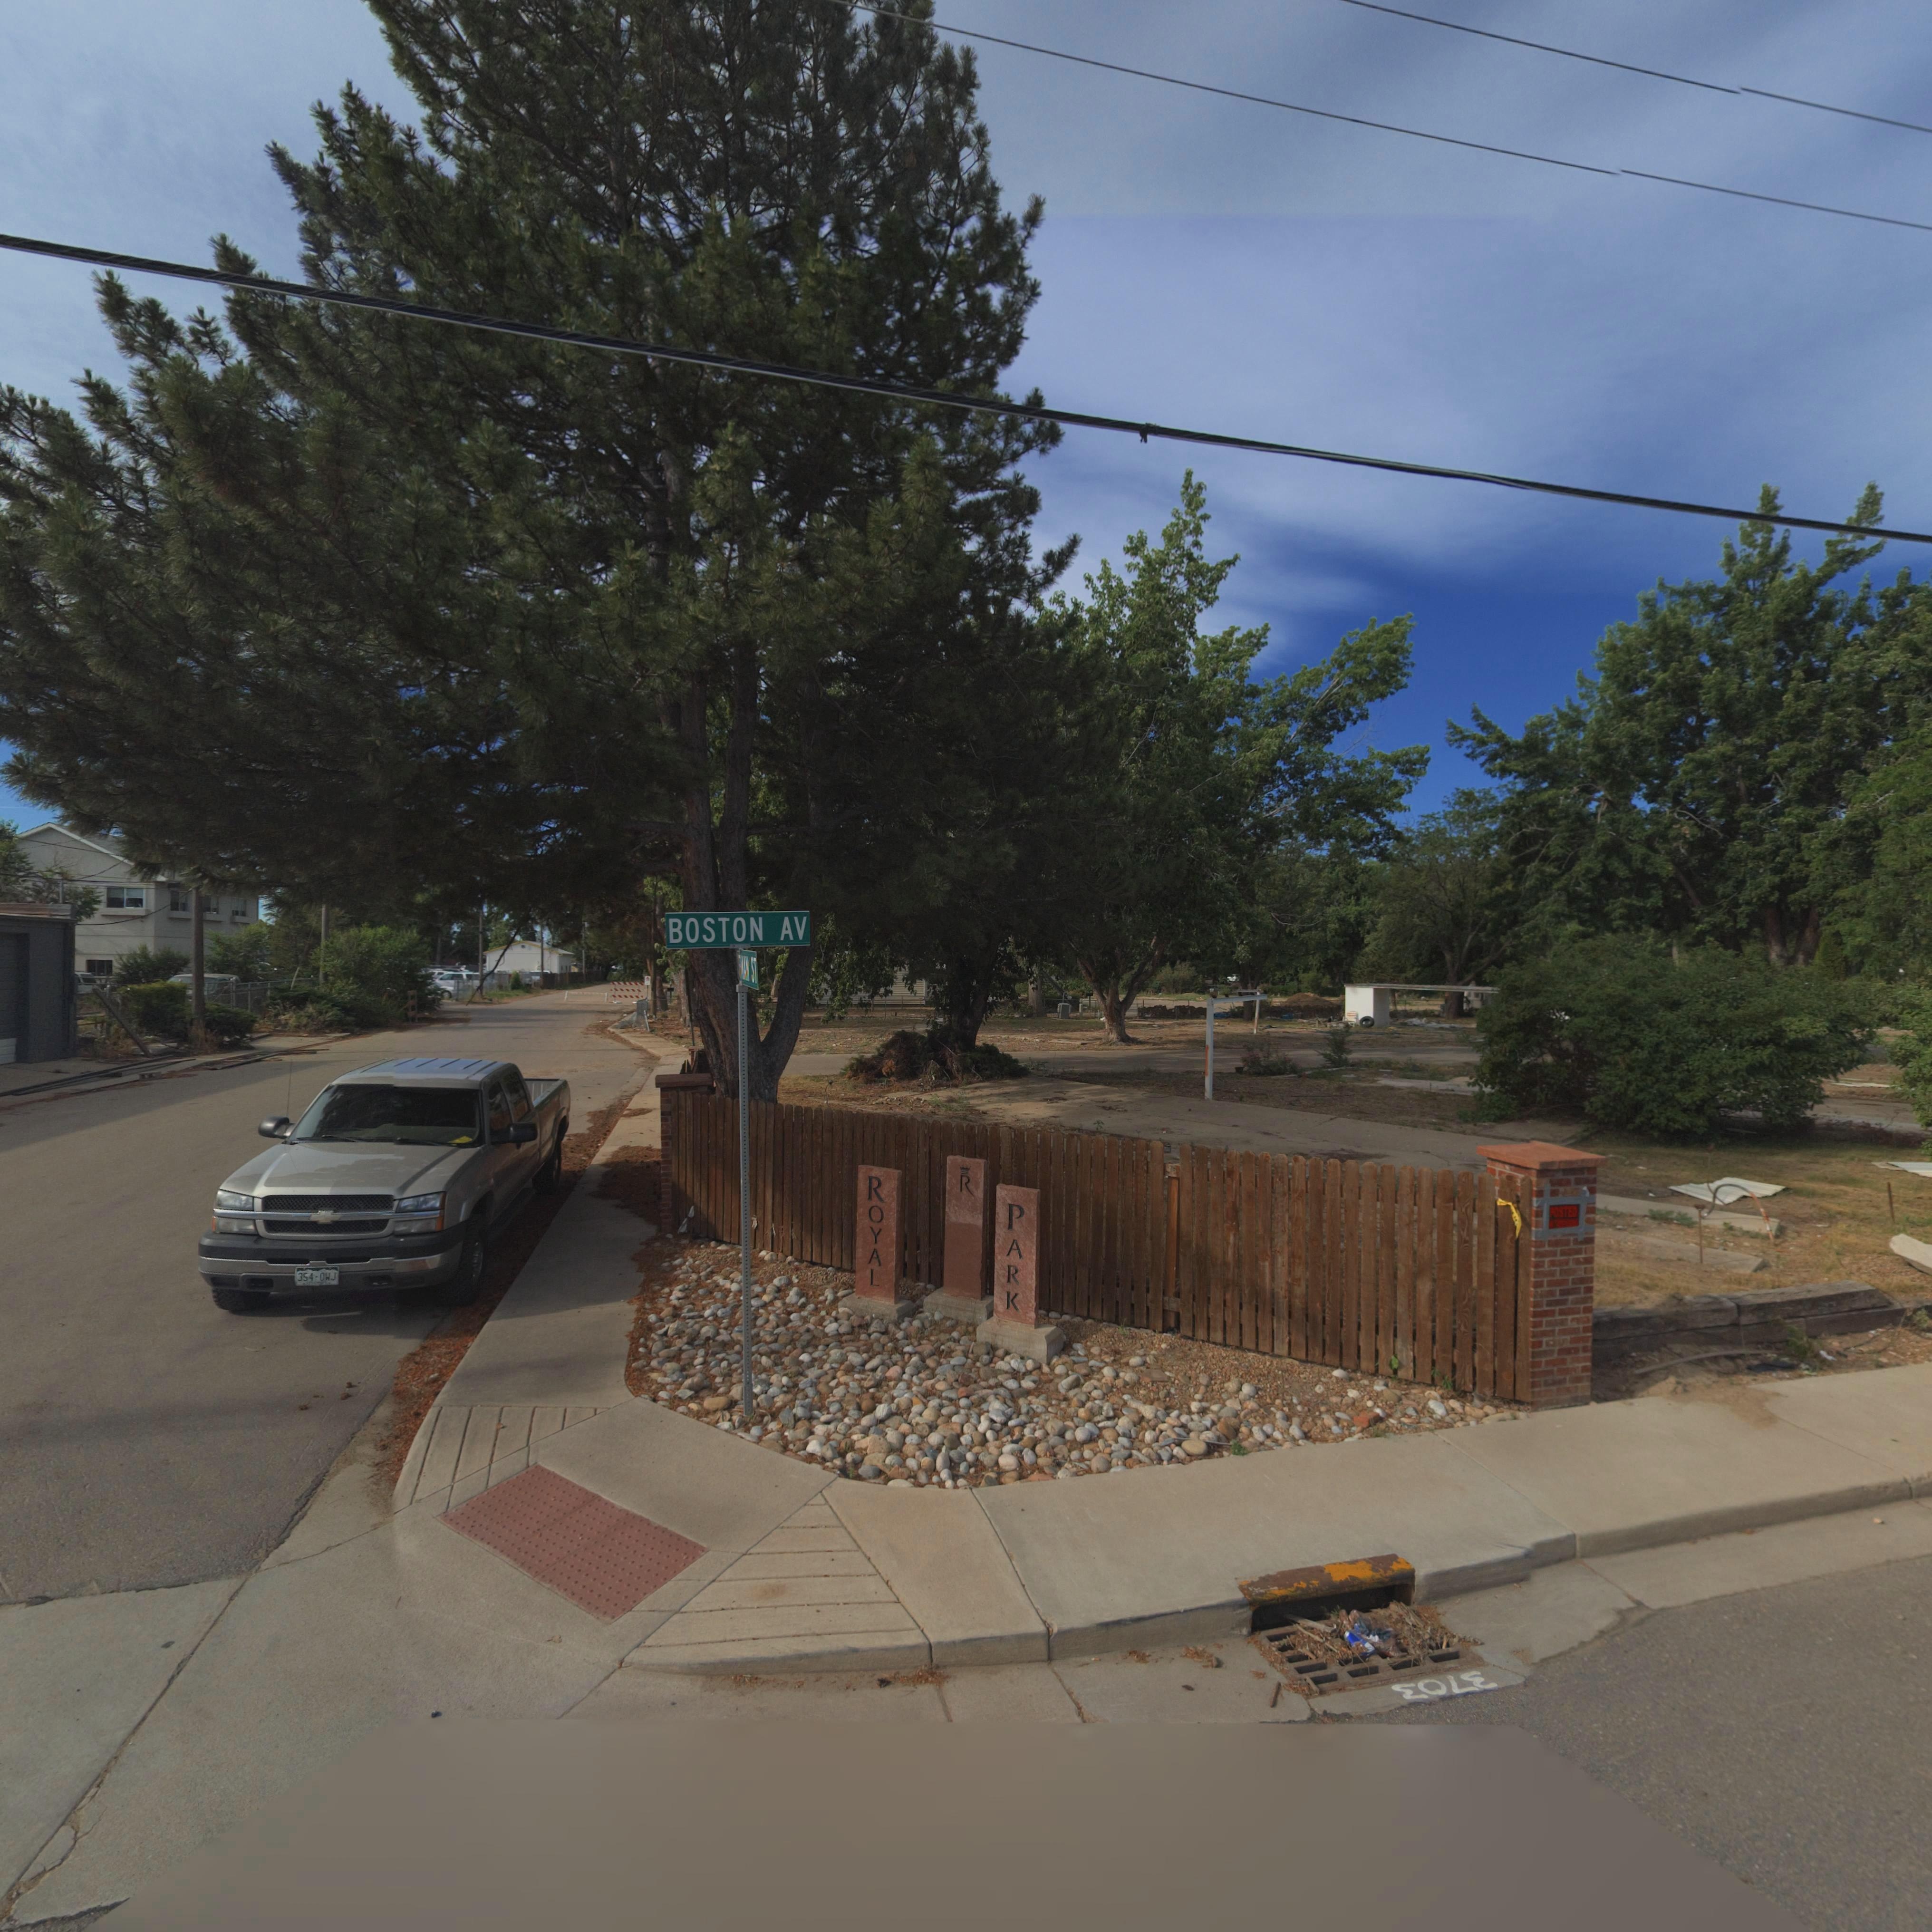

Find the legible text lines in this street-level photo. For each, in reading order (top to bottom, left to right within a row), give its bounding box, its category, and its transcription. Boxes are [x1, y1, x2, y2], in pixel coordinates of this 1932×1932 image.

[666, 915, 808, 945] StreetName: BOSTON AV
[739, 953, 757, 985] StreetName: *AN ST